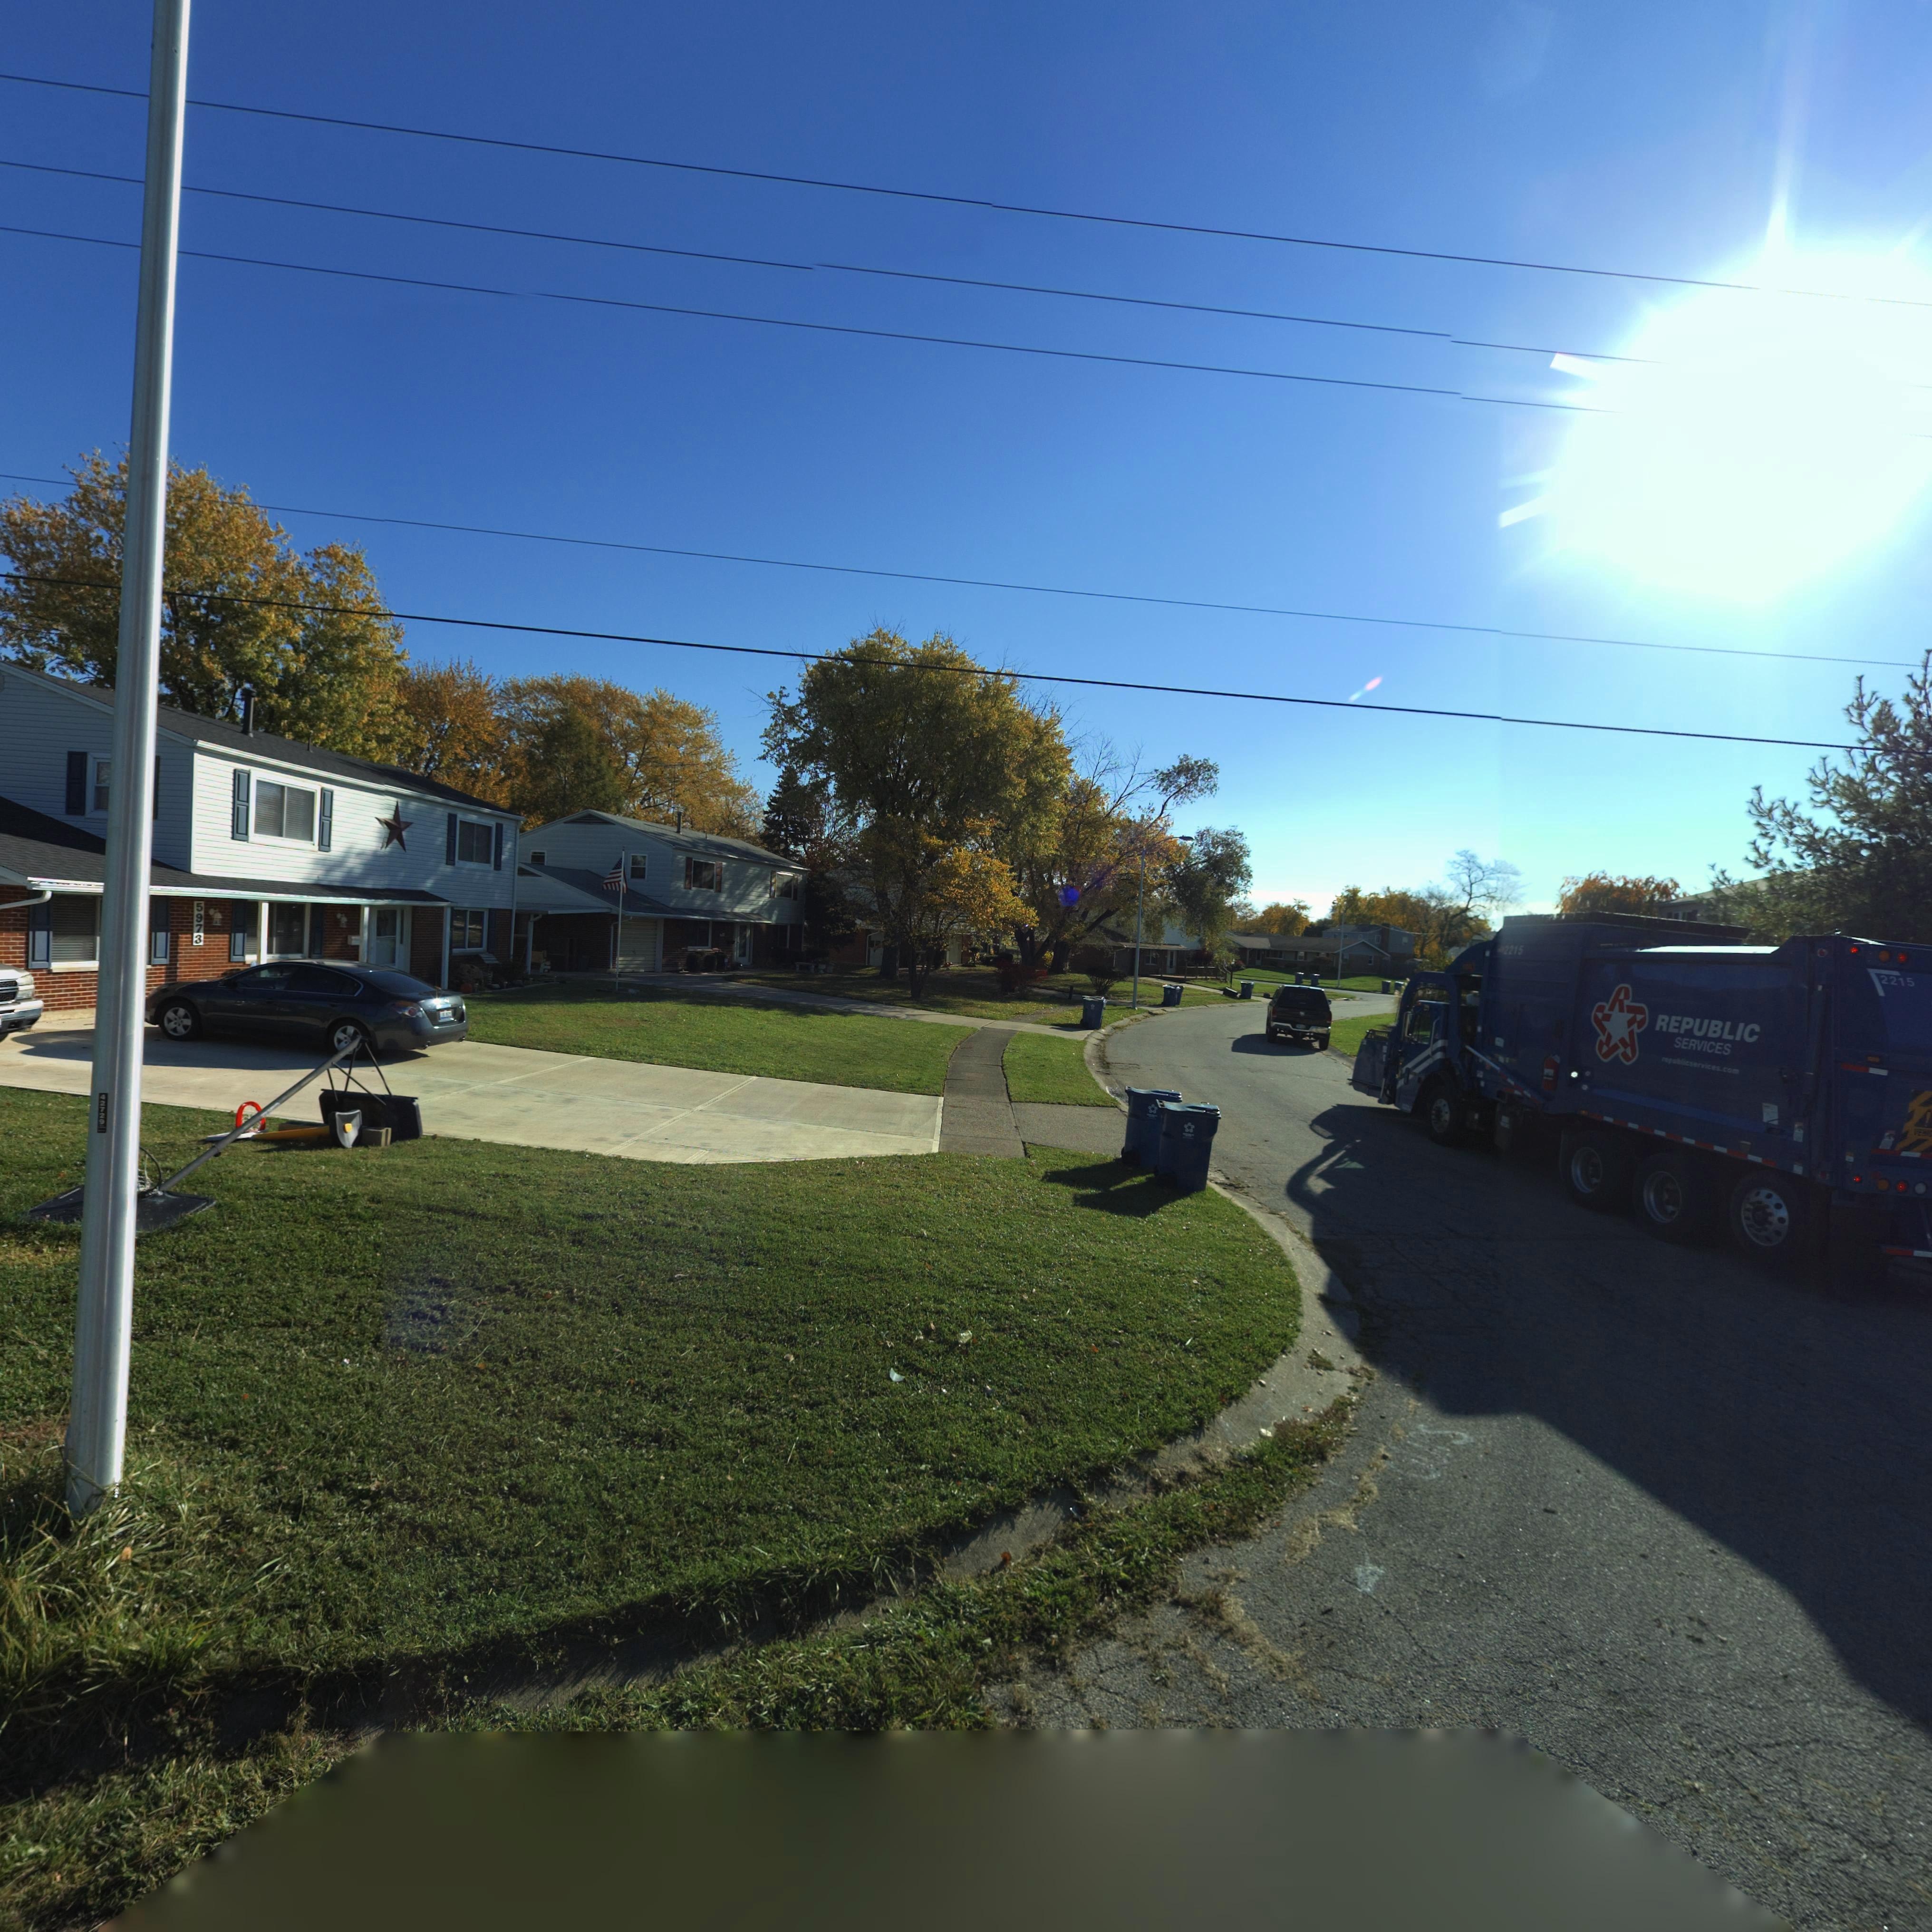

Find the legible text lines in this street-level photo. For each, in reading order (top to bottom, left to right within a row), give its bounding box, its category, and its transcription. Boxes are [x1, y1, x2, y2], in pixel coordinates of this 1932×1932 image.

[193, 901, 204, 946] StreetNumber: 5973